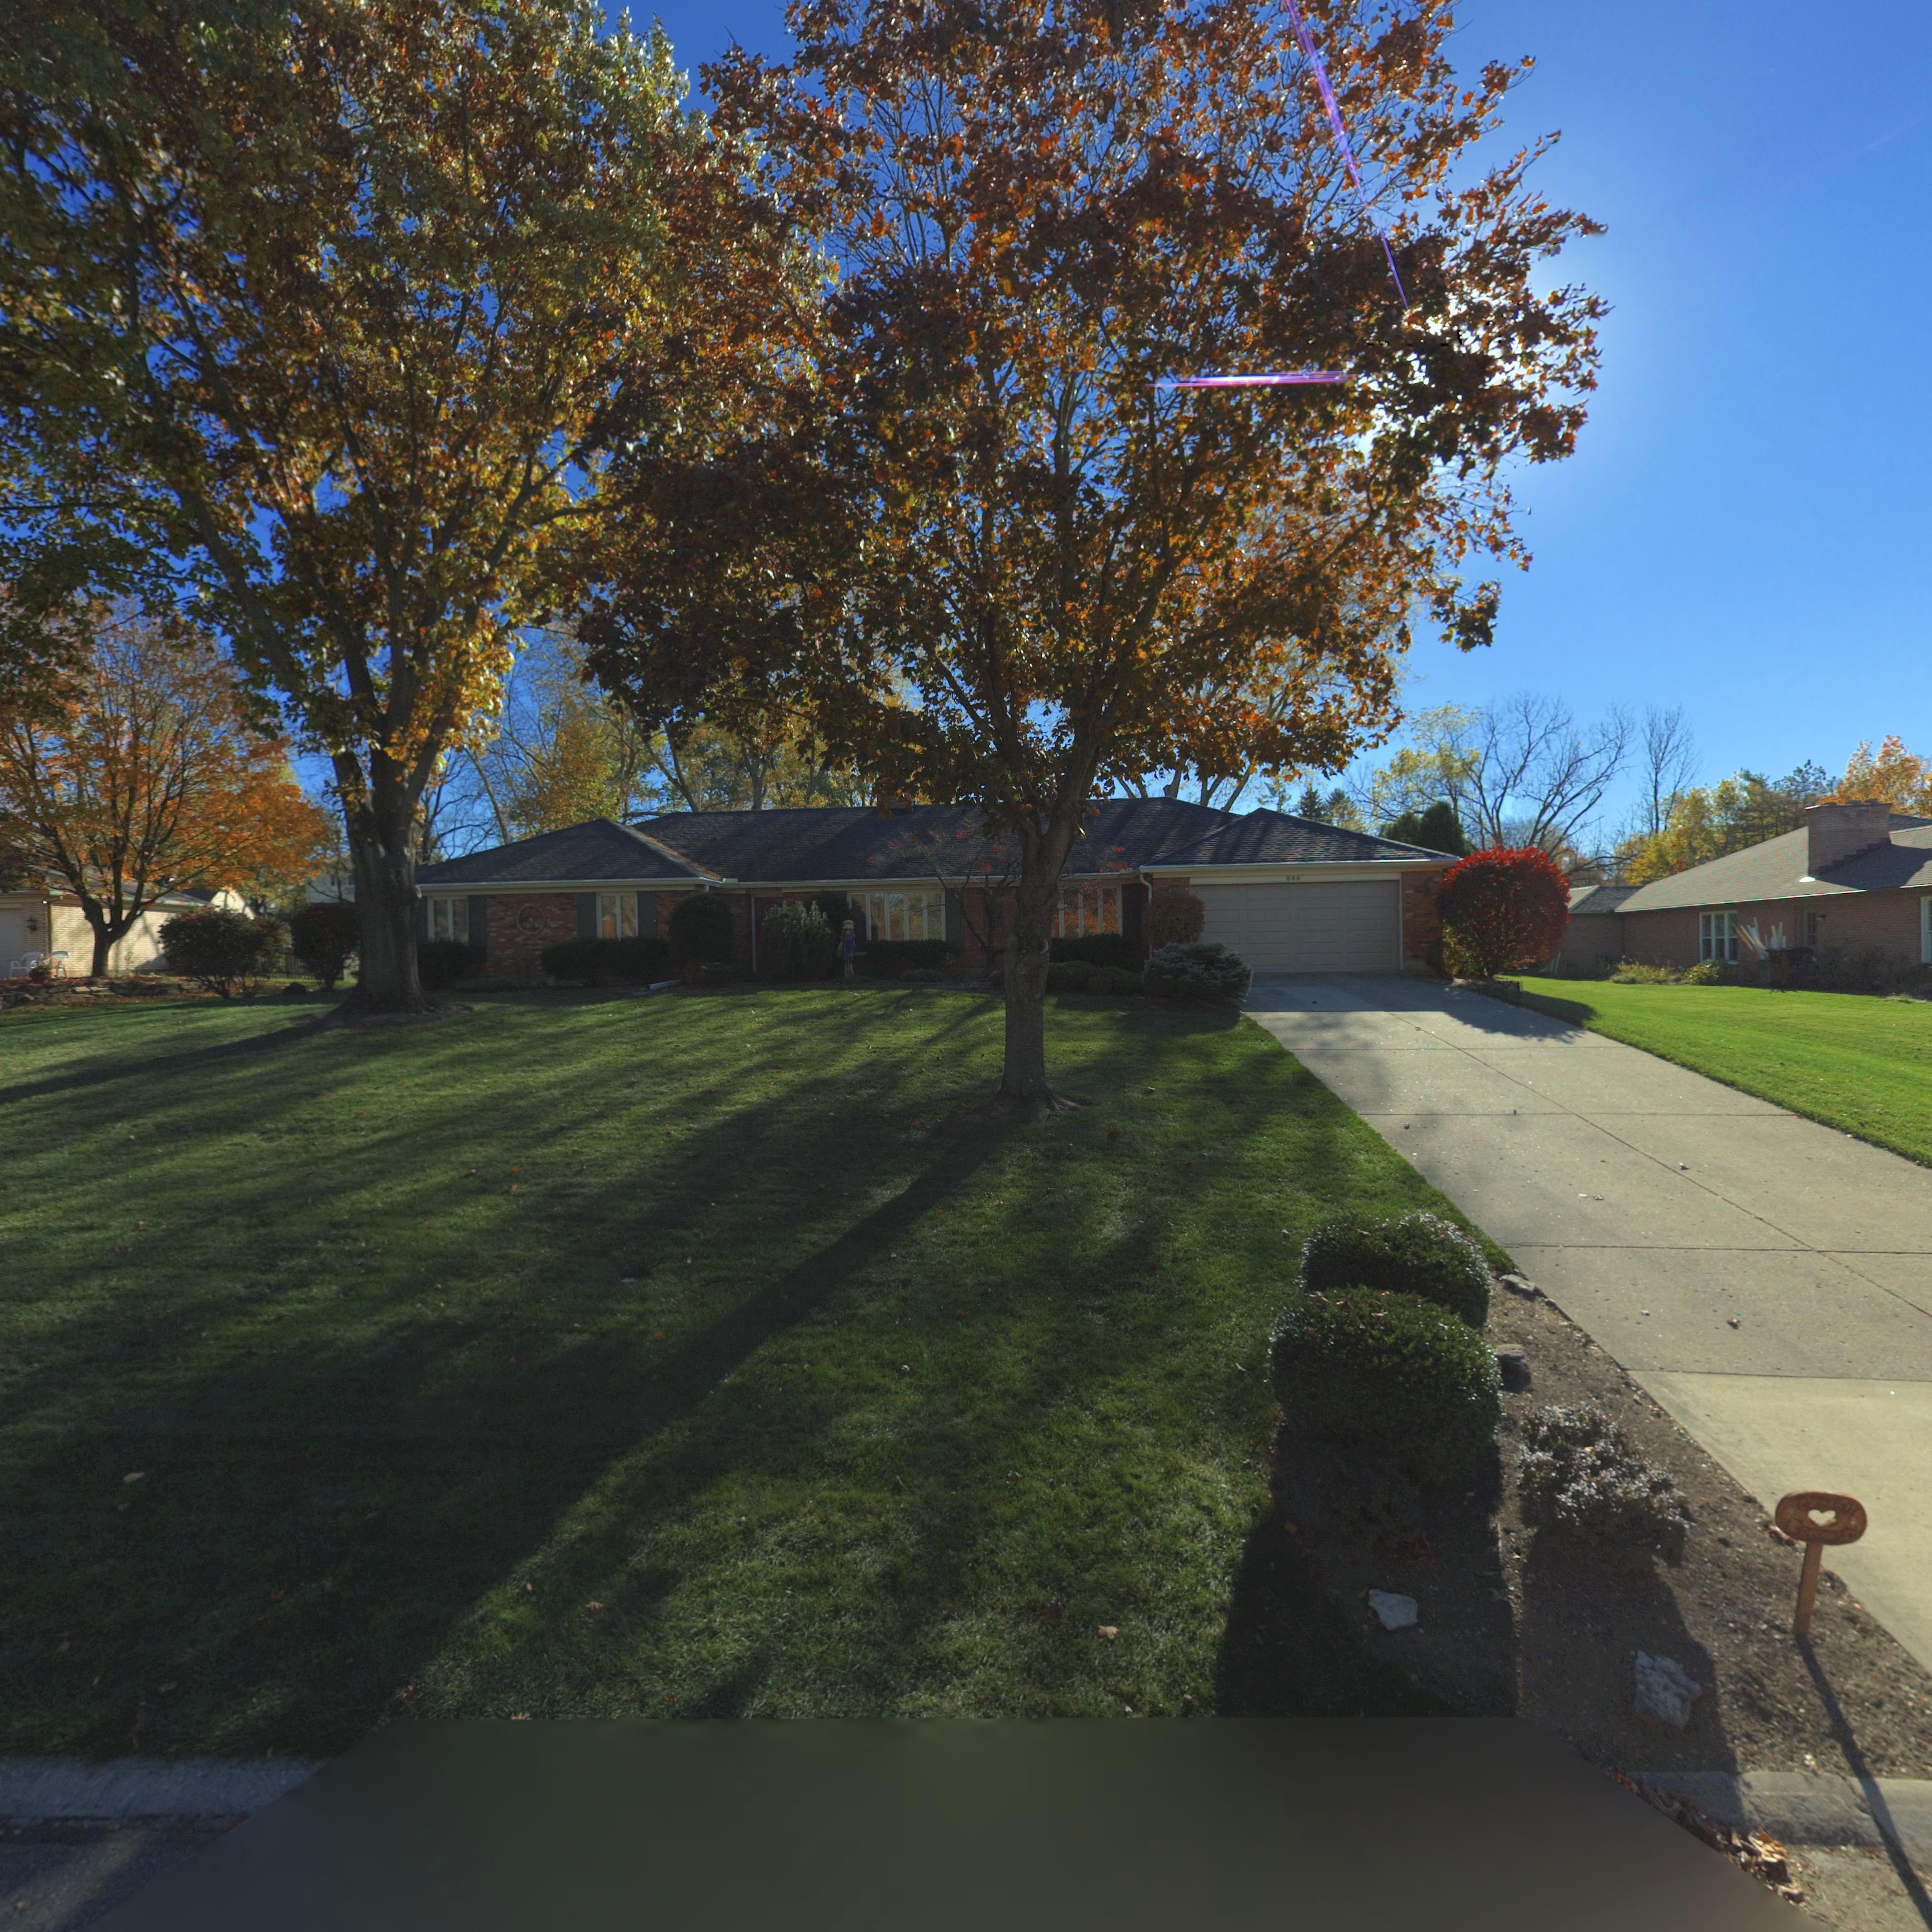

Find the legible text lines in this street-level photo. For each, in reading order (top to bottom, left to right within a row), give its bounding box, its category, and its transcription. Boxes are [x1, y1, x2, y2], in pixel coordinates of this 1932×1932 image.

[1285, 875, 1301, 882] StreetNumber: 646